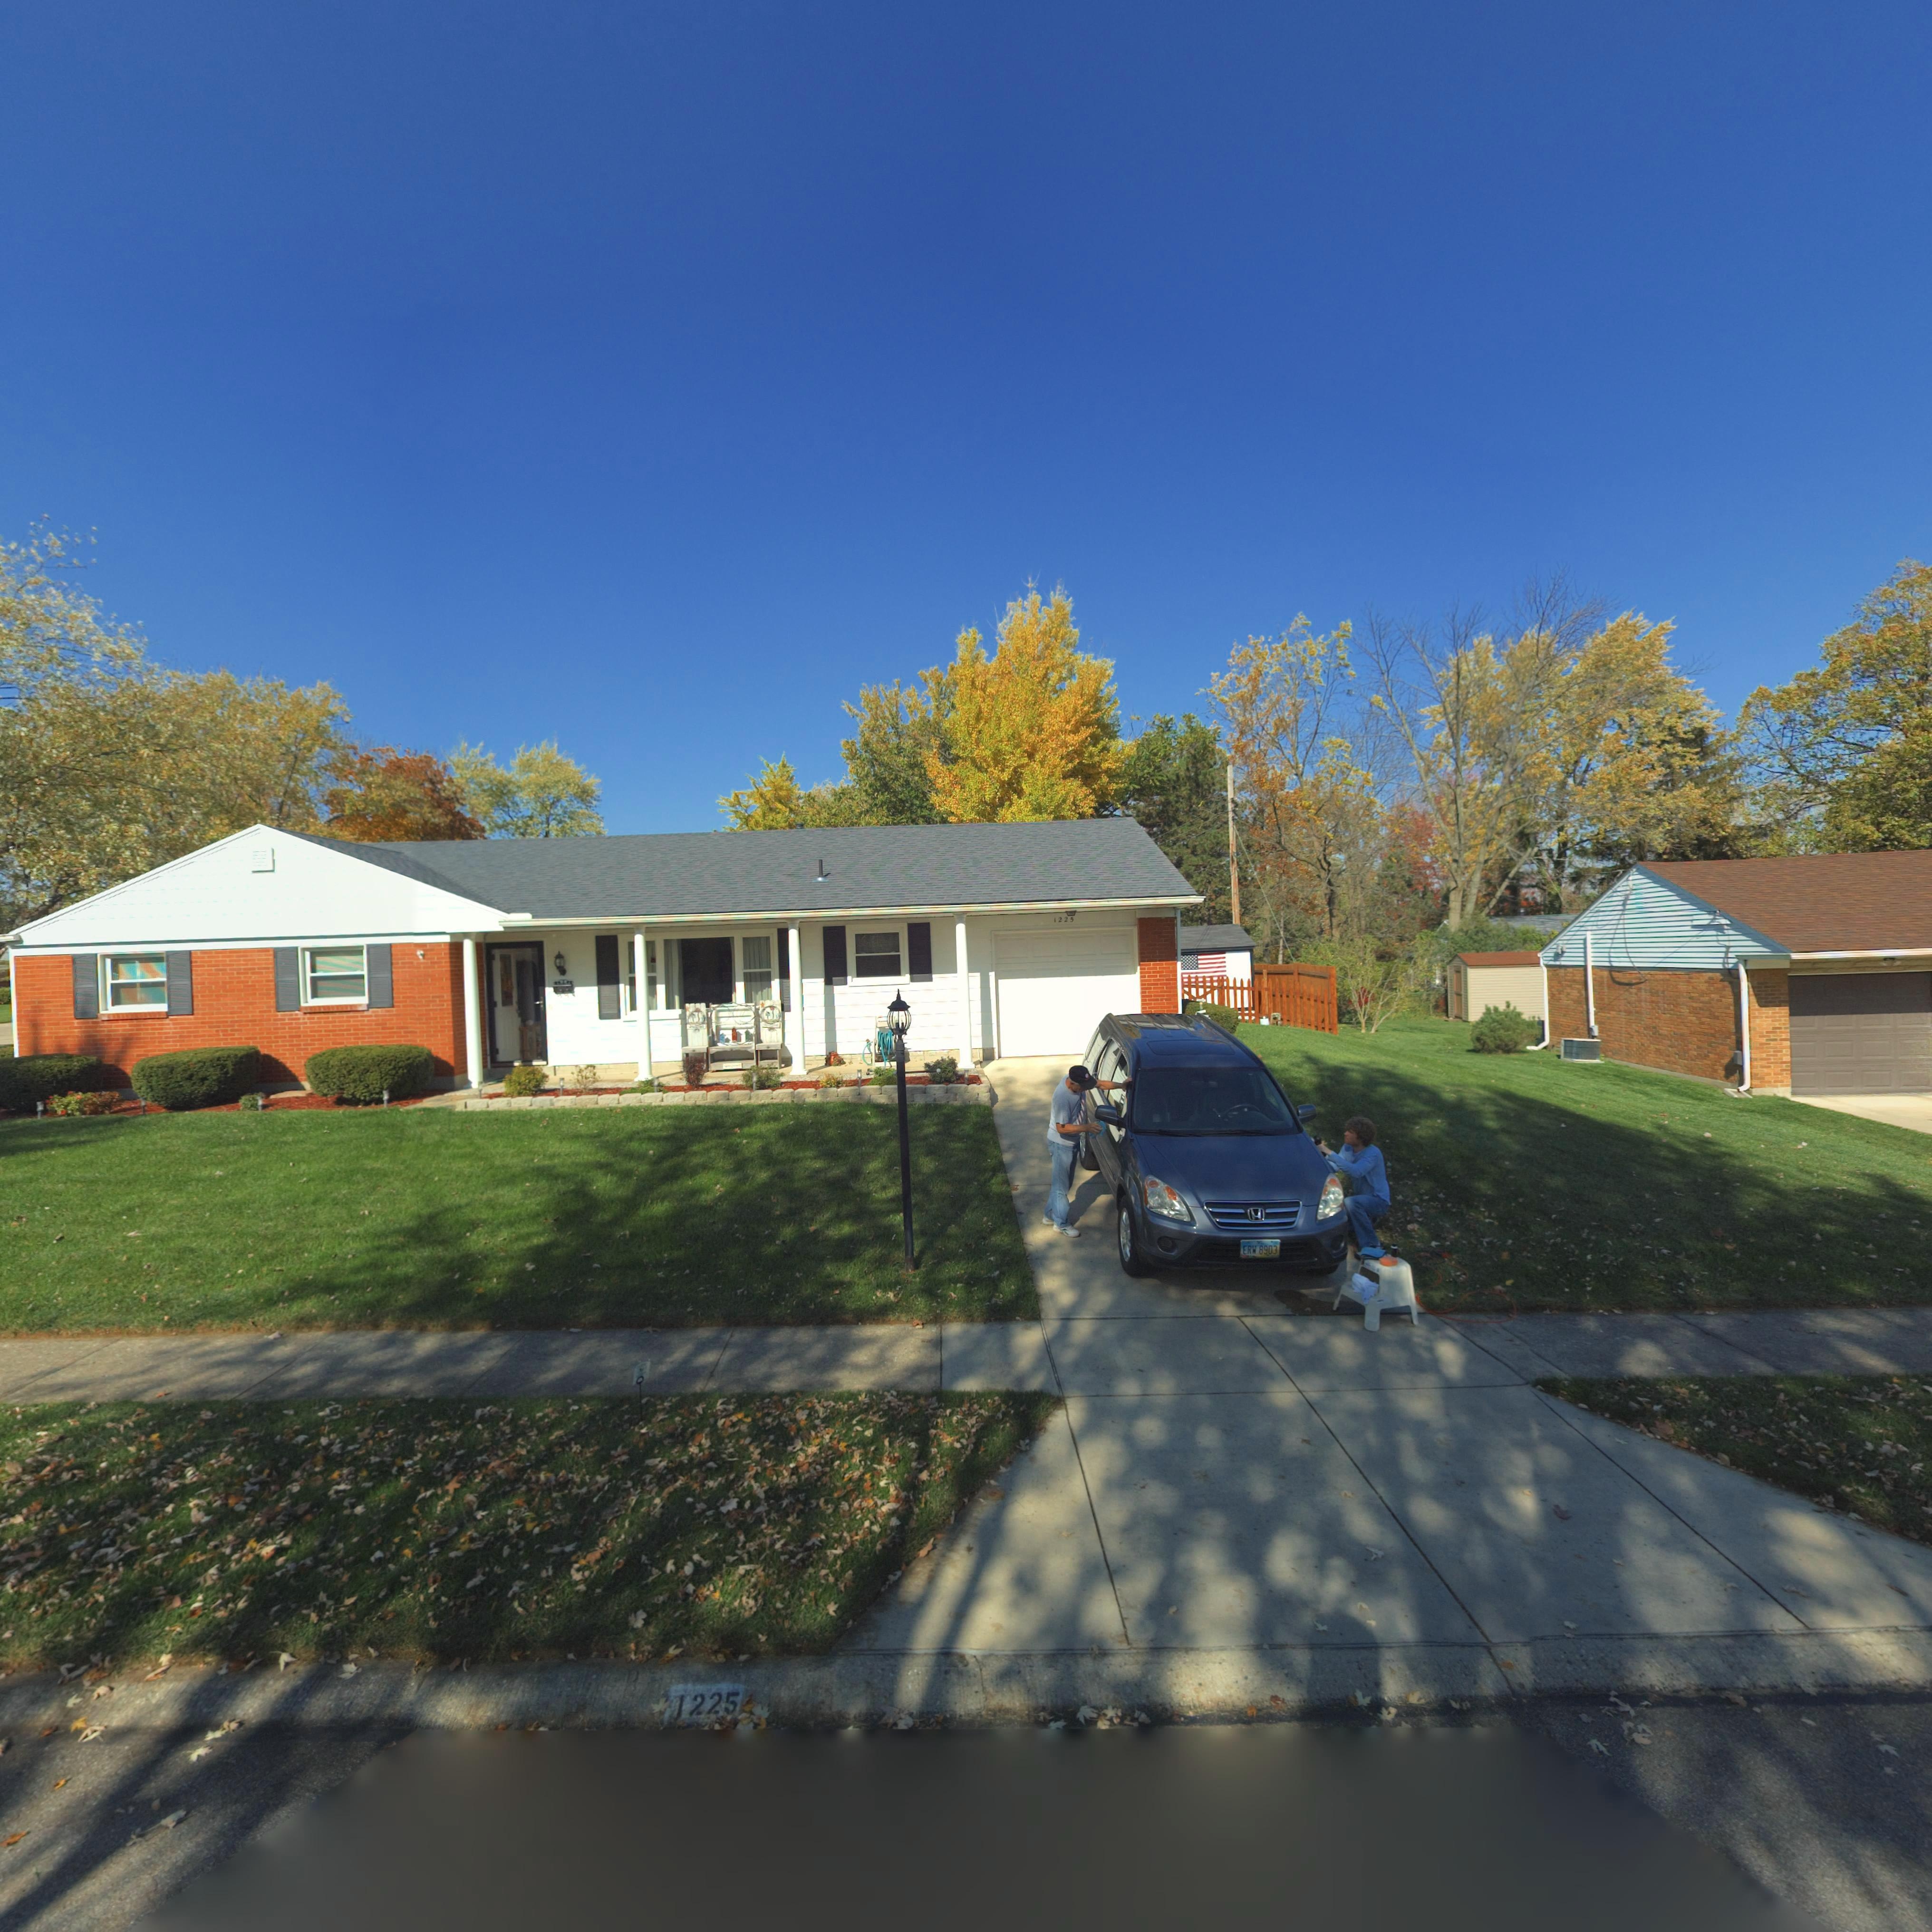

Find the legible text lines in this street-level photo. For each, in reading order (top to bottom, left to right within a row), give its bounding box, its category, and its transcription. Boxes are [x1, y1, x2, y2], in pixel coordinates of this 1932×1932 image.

[1053, 916, 1074, 923] StreetNumber: 1225
[1243, 1245, 1277, 1255] None: ERW 8903